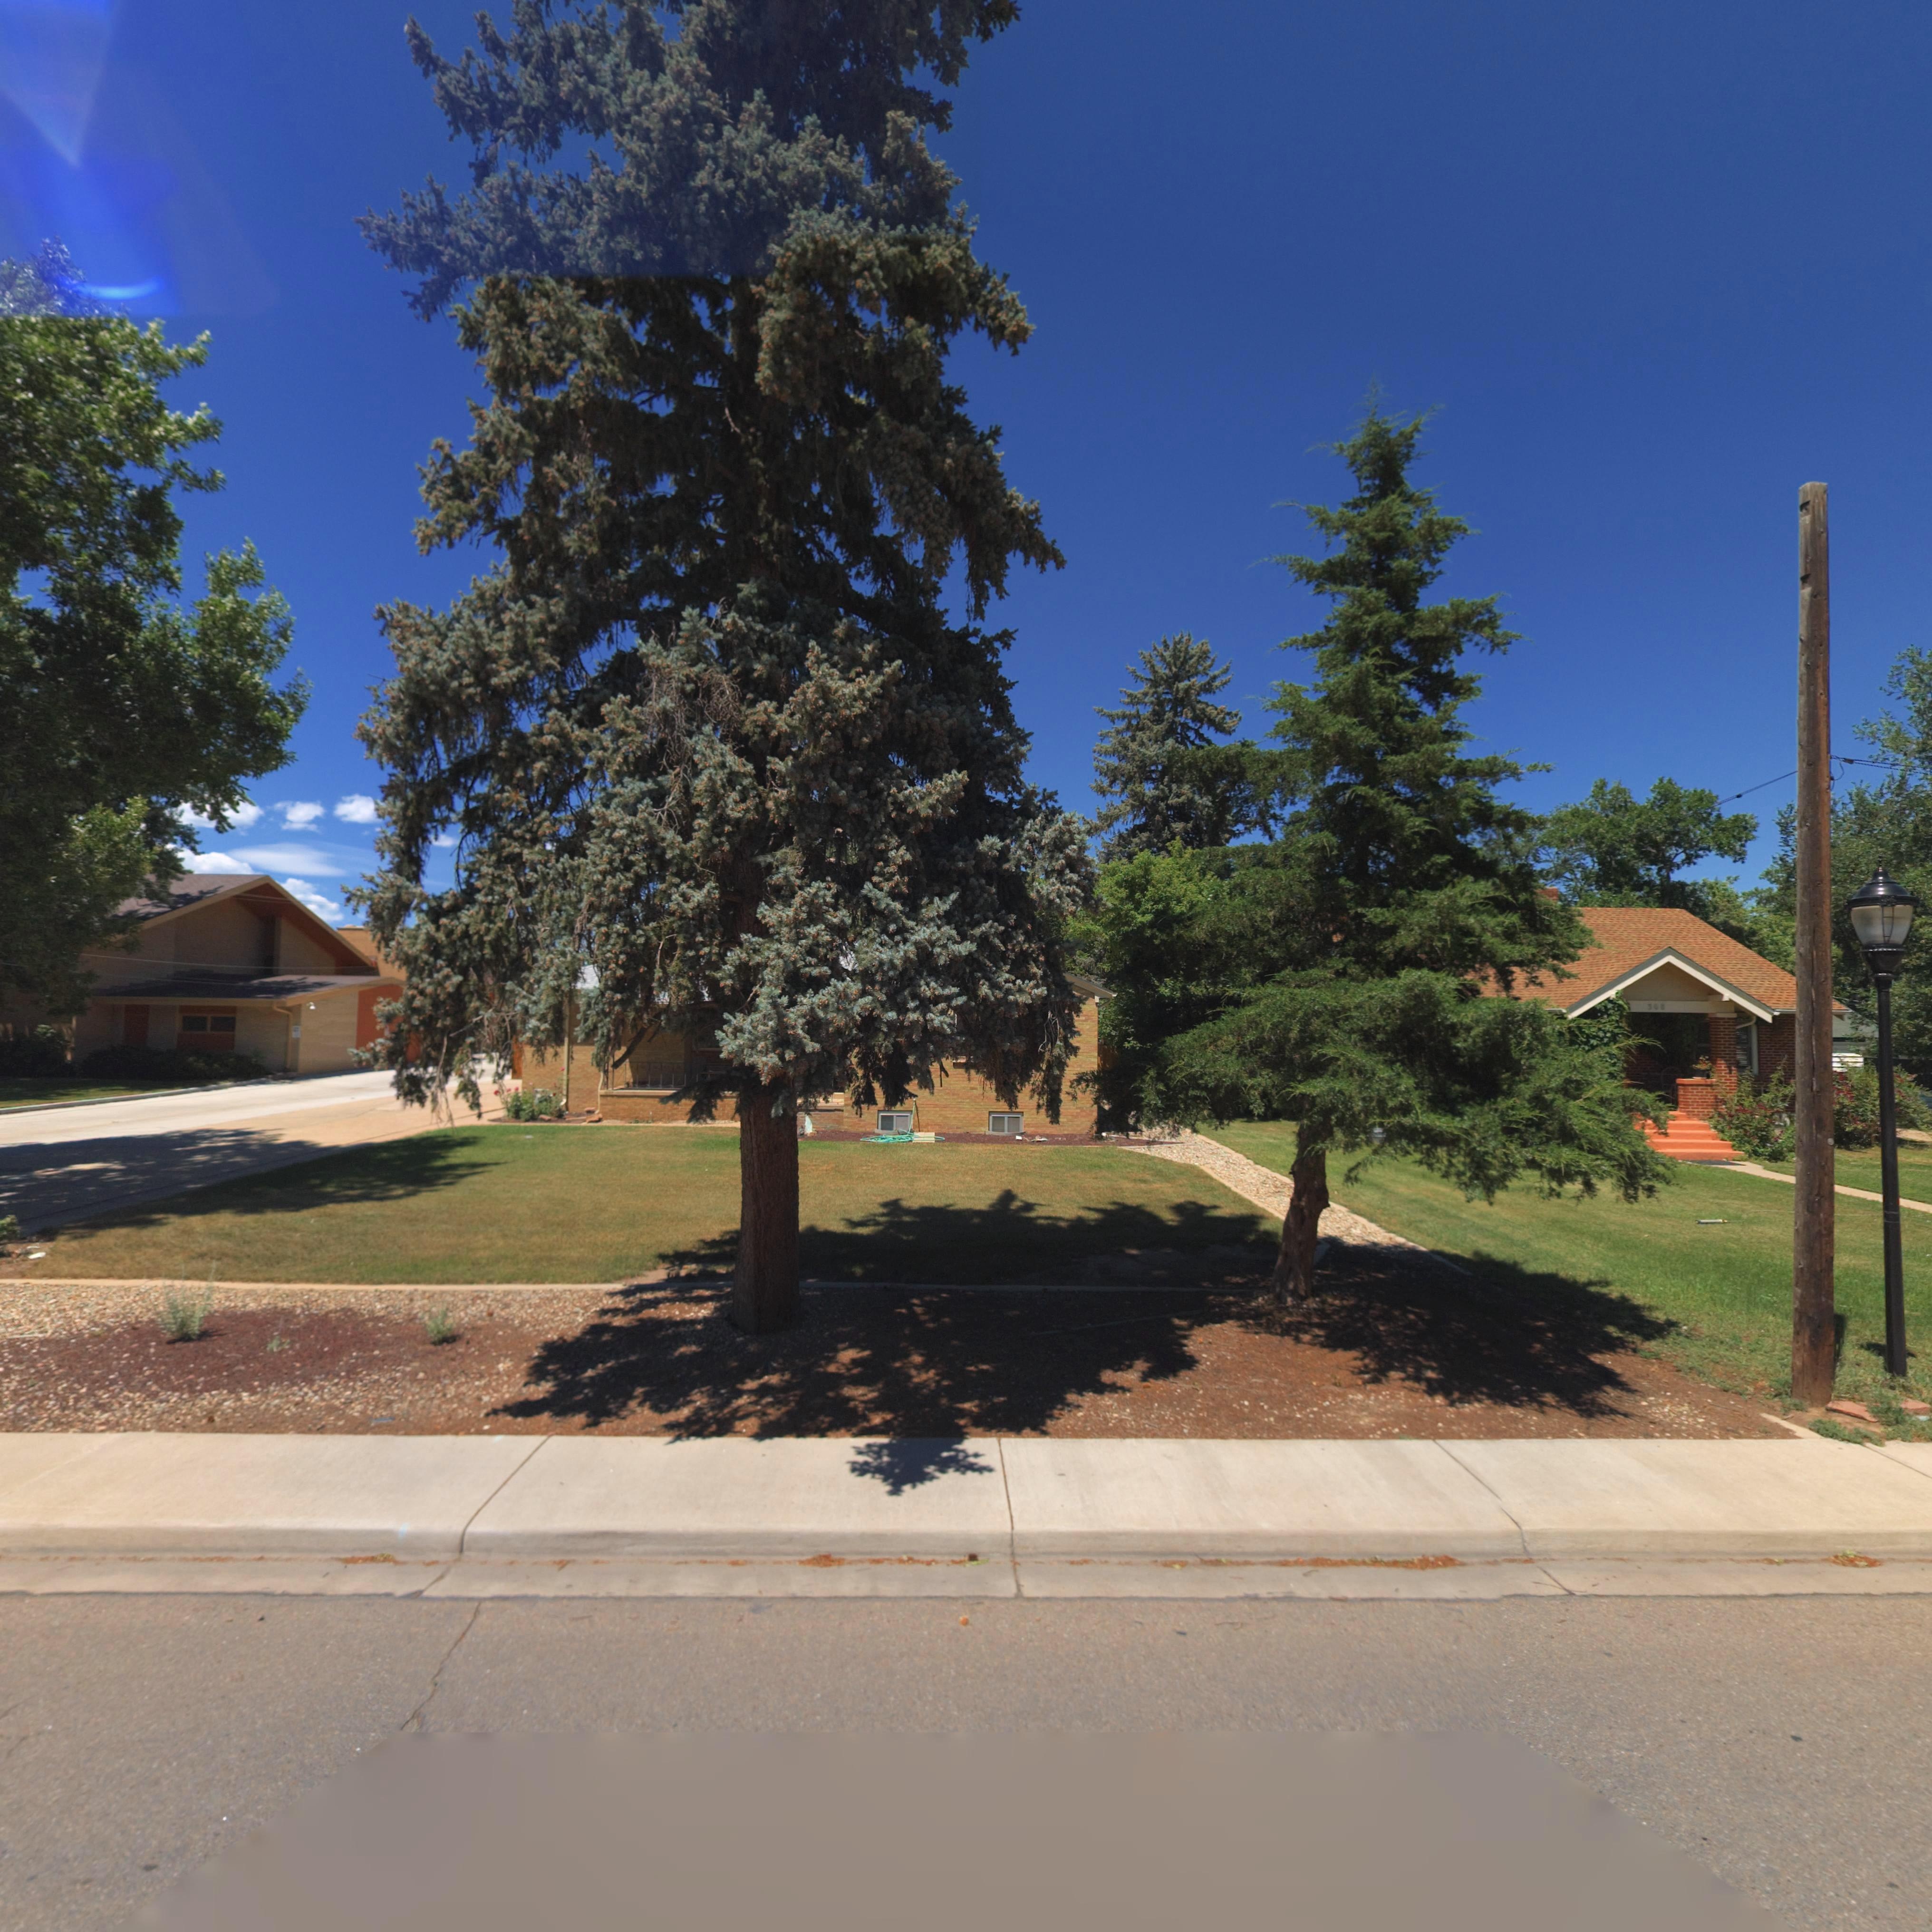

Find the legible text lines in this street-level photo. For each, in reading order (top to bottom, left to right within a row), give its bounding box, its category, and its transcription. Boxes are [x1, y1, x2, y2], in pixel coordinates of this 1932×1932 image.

[1647, 1003, 1664, 1010] StreetNumber: 3**